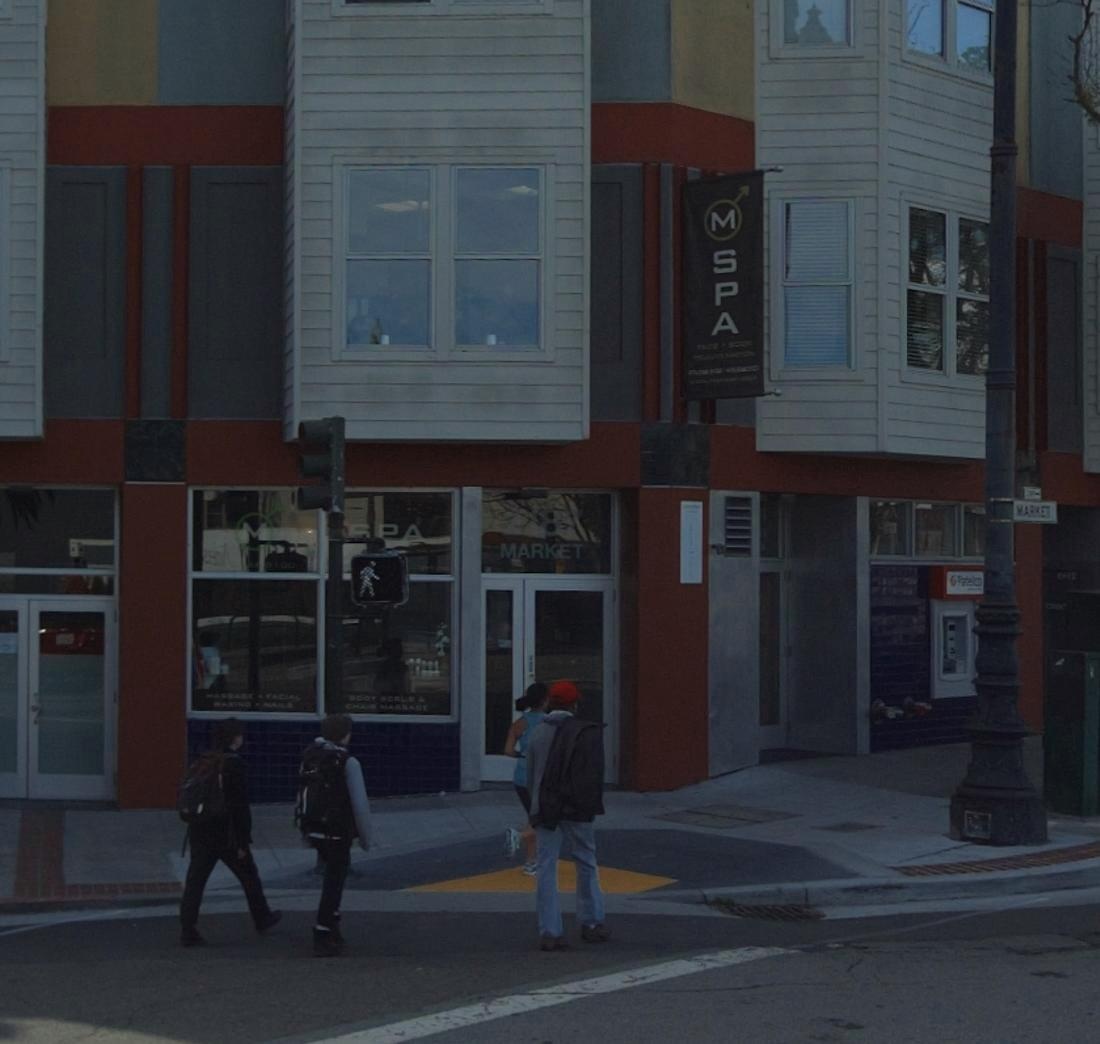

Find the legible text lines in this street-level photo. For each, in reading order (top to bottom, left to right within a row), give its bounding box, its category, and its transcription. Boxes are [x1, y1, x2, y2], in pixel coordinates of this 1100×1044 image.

[709, 207, 741, 338] None: MSPA
[1014, 502, 1053, 520] StreetName: MARKET
[377, 521, 427, 546] None: PA
[499, 541, 586, 562] StreetName: MARKET